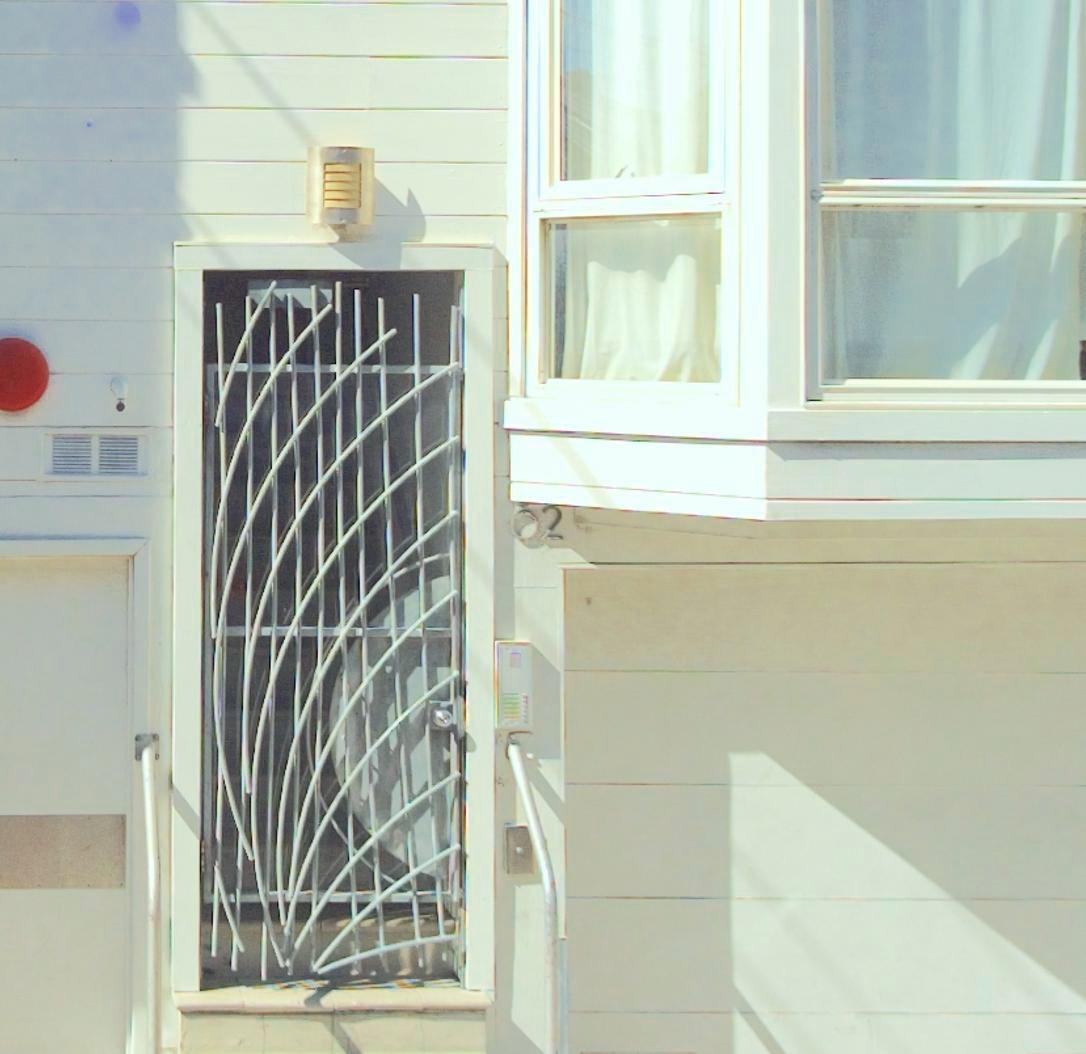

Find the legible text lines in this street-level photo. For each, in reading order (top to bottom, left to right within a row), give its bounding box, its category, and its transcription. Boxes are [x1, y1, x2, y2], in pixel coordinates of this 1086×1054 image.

[540, 500, 567, 546] StreetNumber: 2